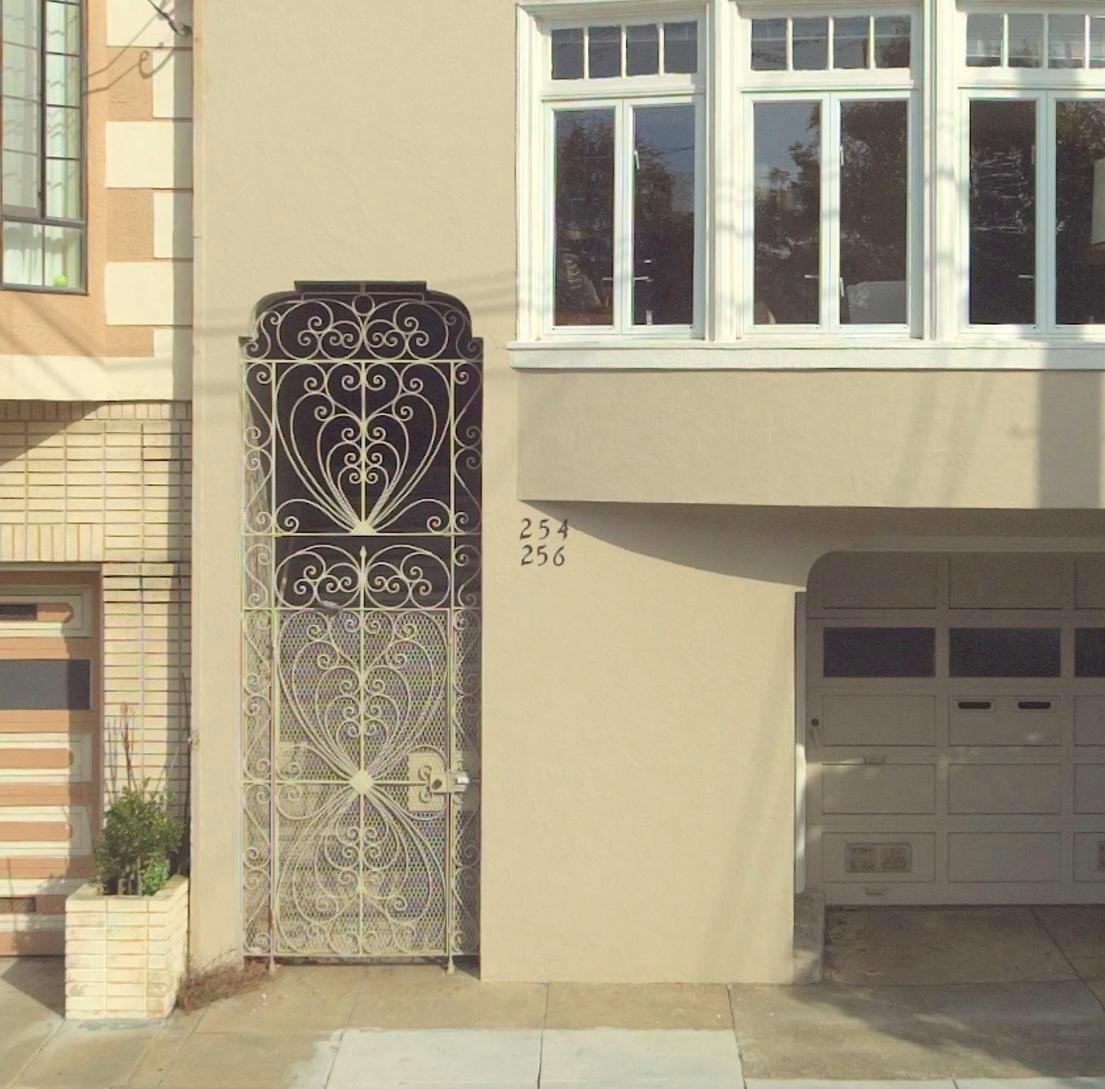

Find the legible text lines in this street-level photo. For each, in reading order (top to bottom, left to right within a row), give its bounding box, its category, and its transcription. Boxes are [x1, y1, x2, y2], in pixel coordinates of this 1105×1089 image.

[518, 516, 571, 542] StreetNumber: 254
[519, 543, 566, 568] StreetNumber: 256